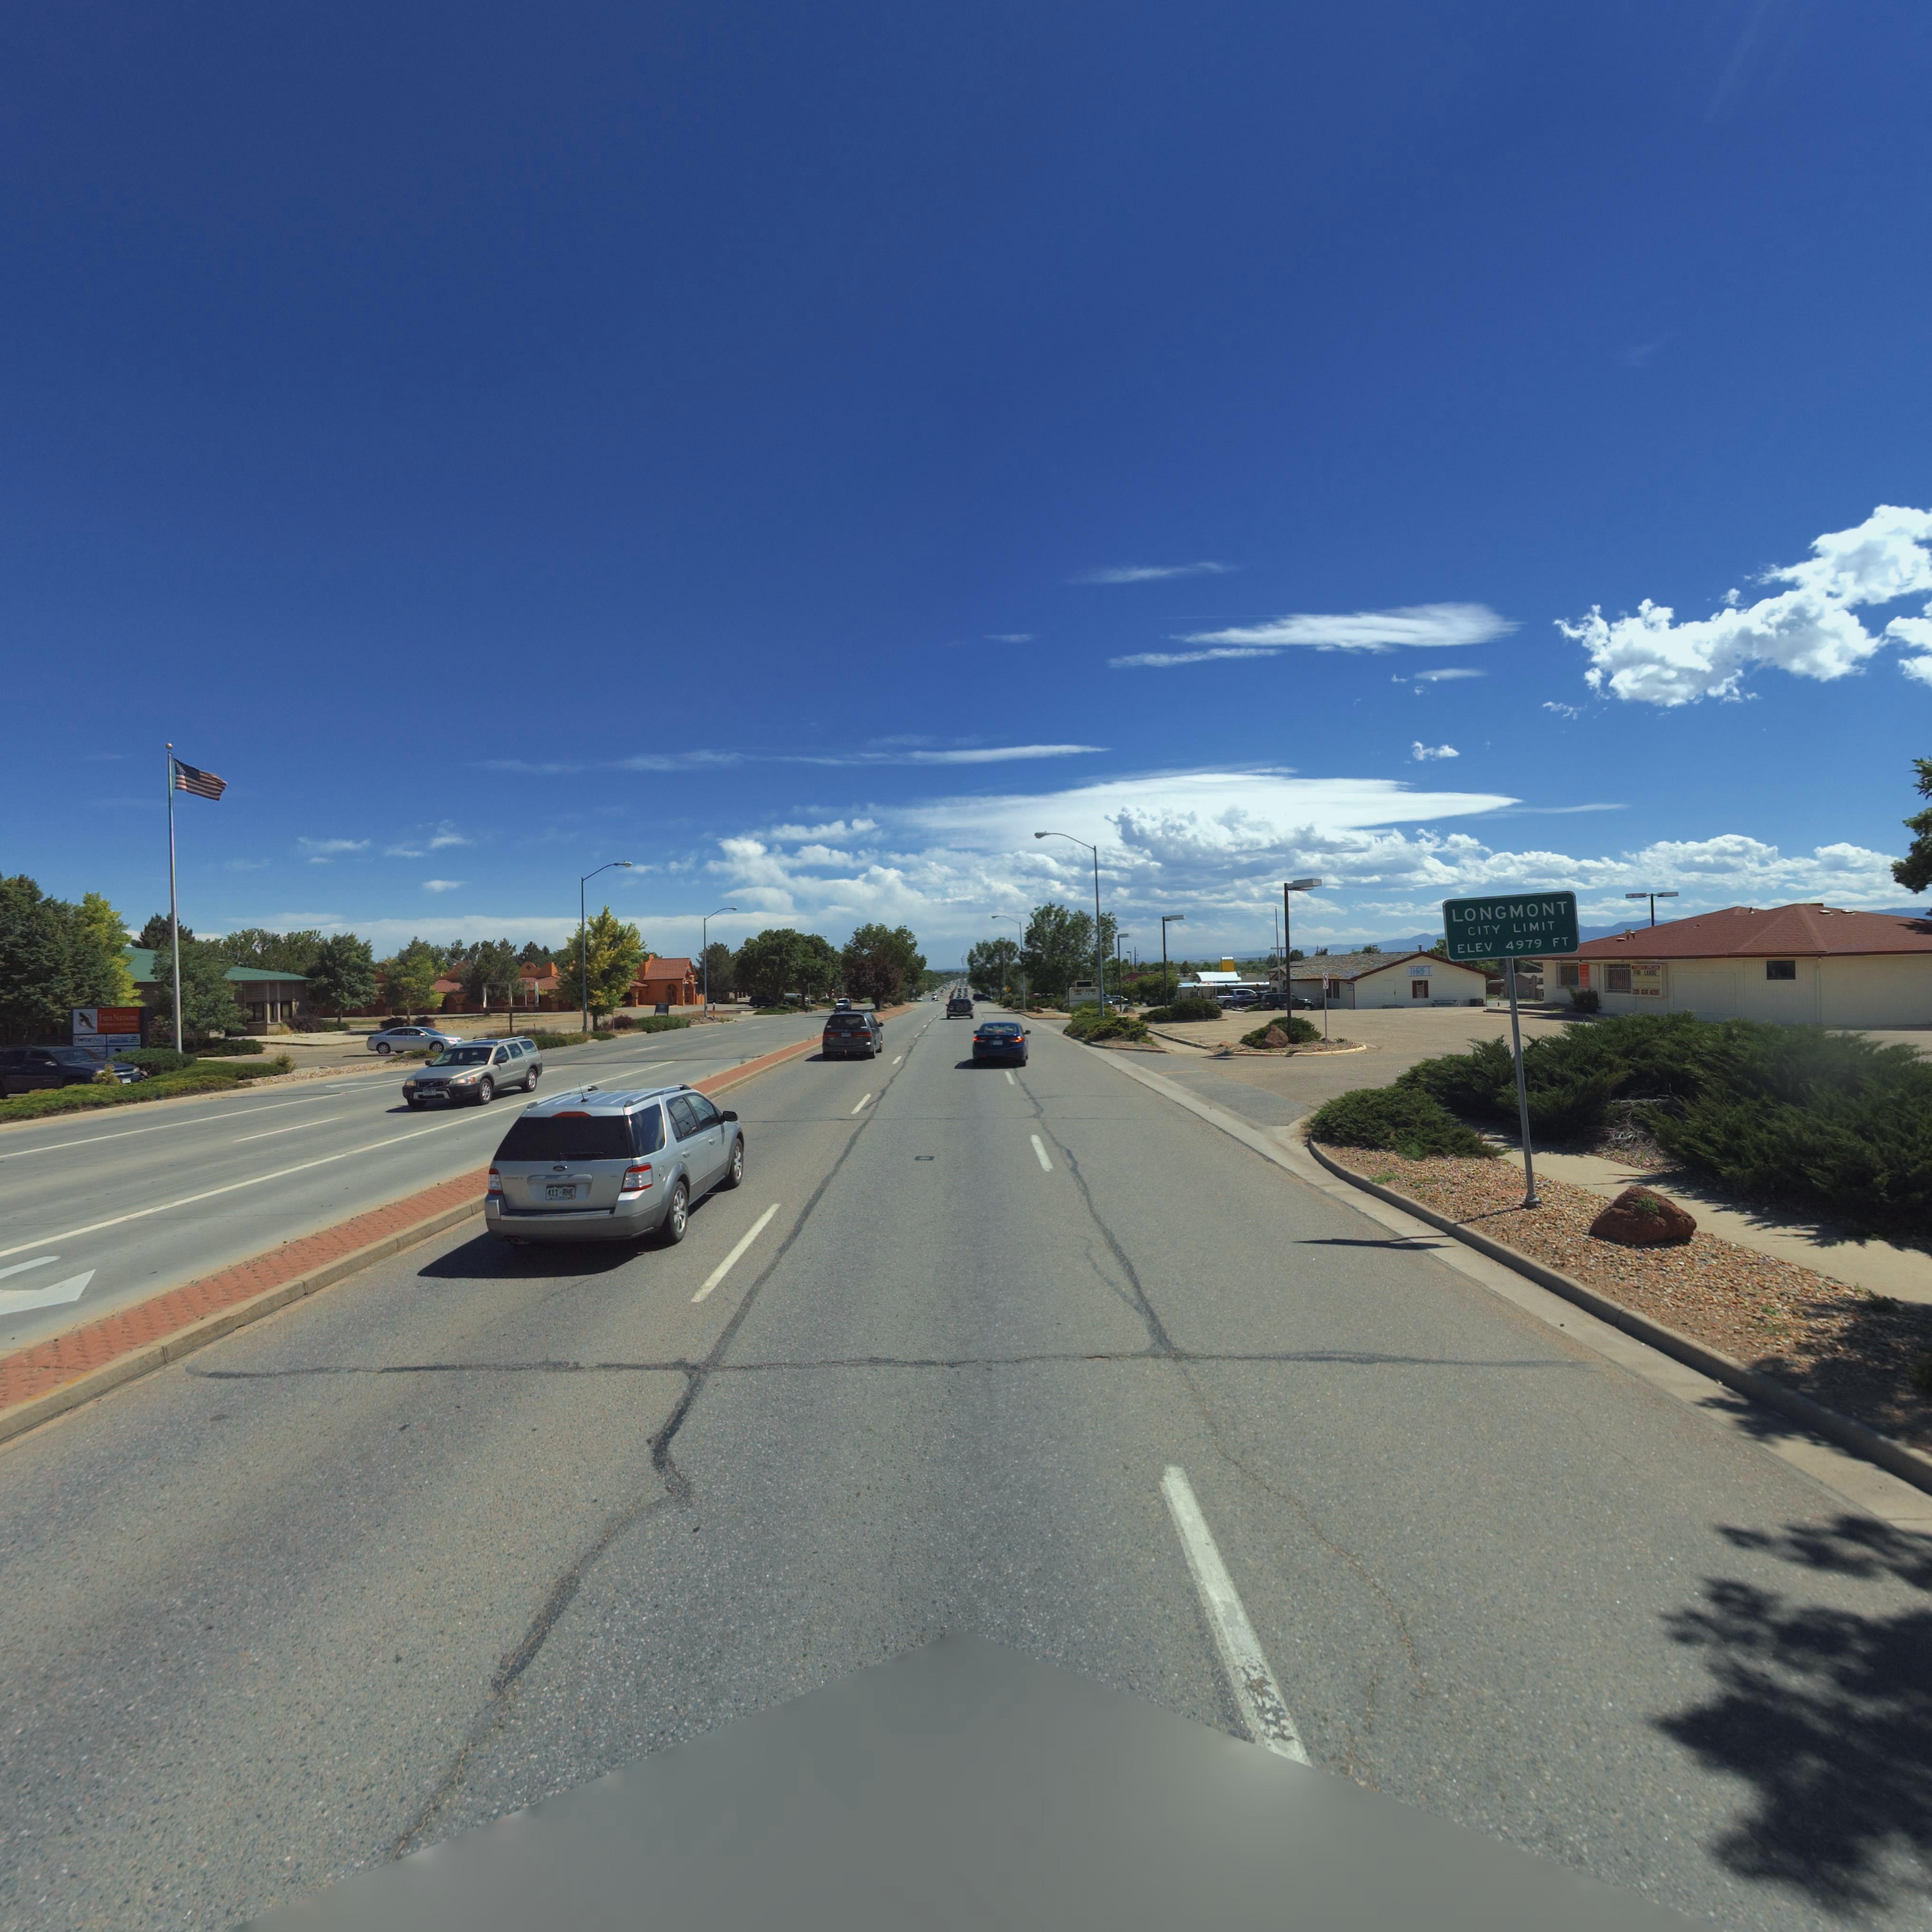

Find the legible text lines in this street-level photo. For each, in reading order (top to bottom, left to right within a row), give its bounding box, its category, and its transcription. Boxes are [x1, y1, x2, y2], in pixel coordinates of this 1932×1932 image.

[98, 1013, 138, 1021] BusinessName: First Nations